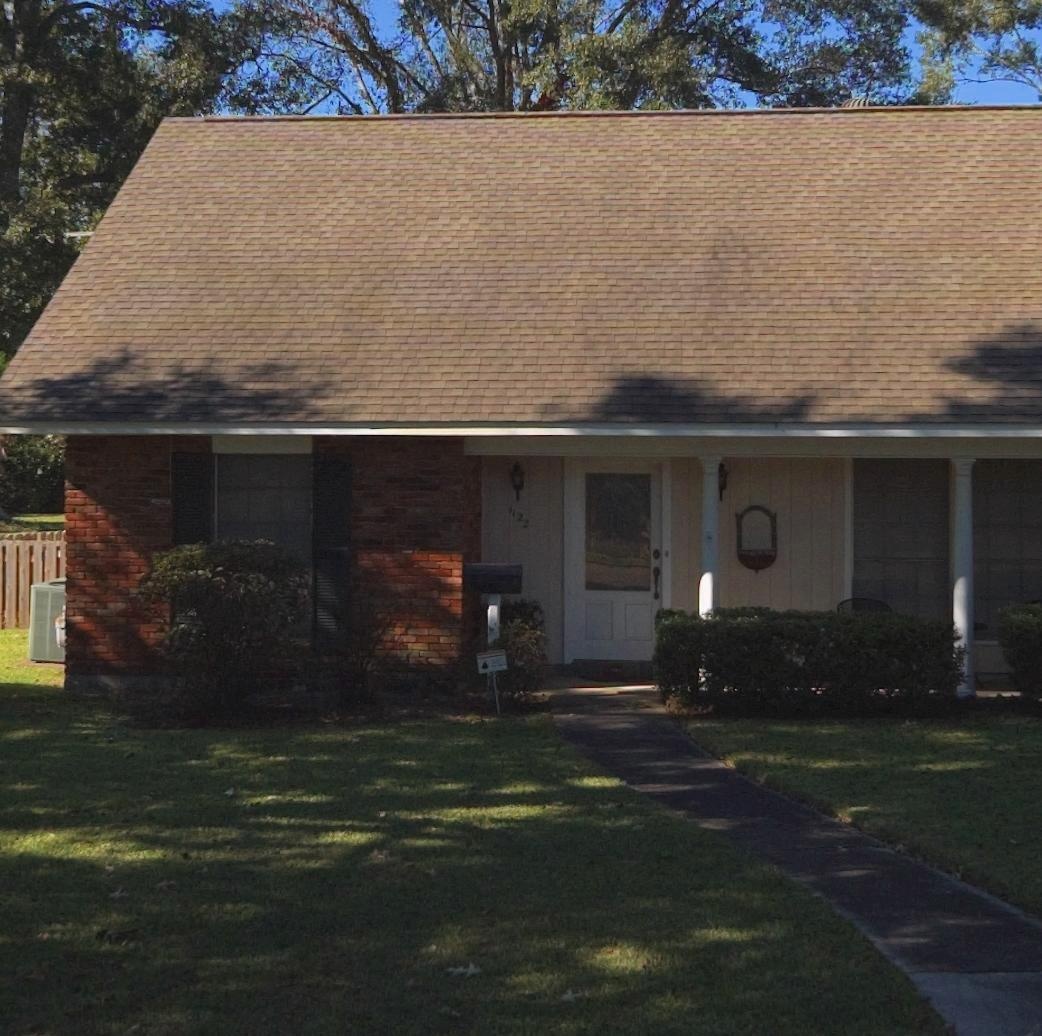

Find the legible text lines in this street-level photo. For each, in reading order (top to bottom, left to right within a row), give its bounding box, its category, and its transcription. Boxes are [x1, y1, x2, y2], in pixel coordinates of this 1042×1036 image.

[506, 504, 532, 530] StreetNumber: 1122